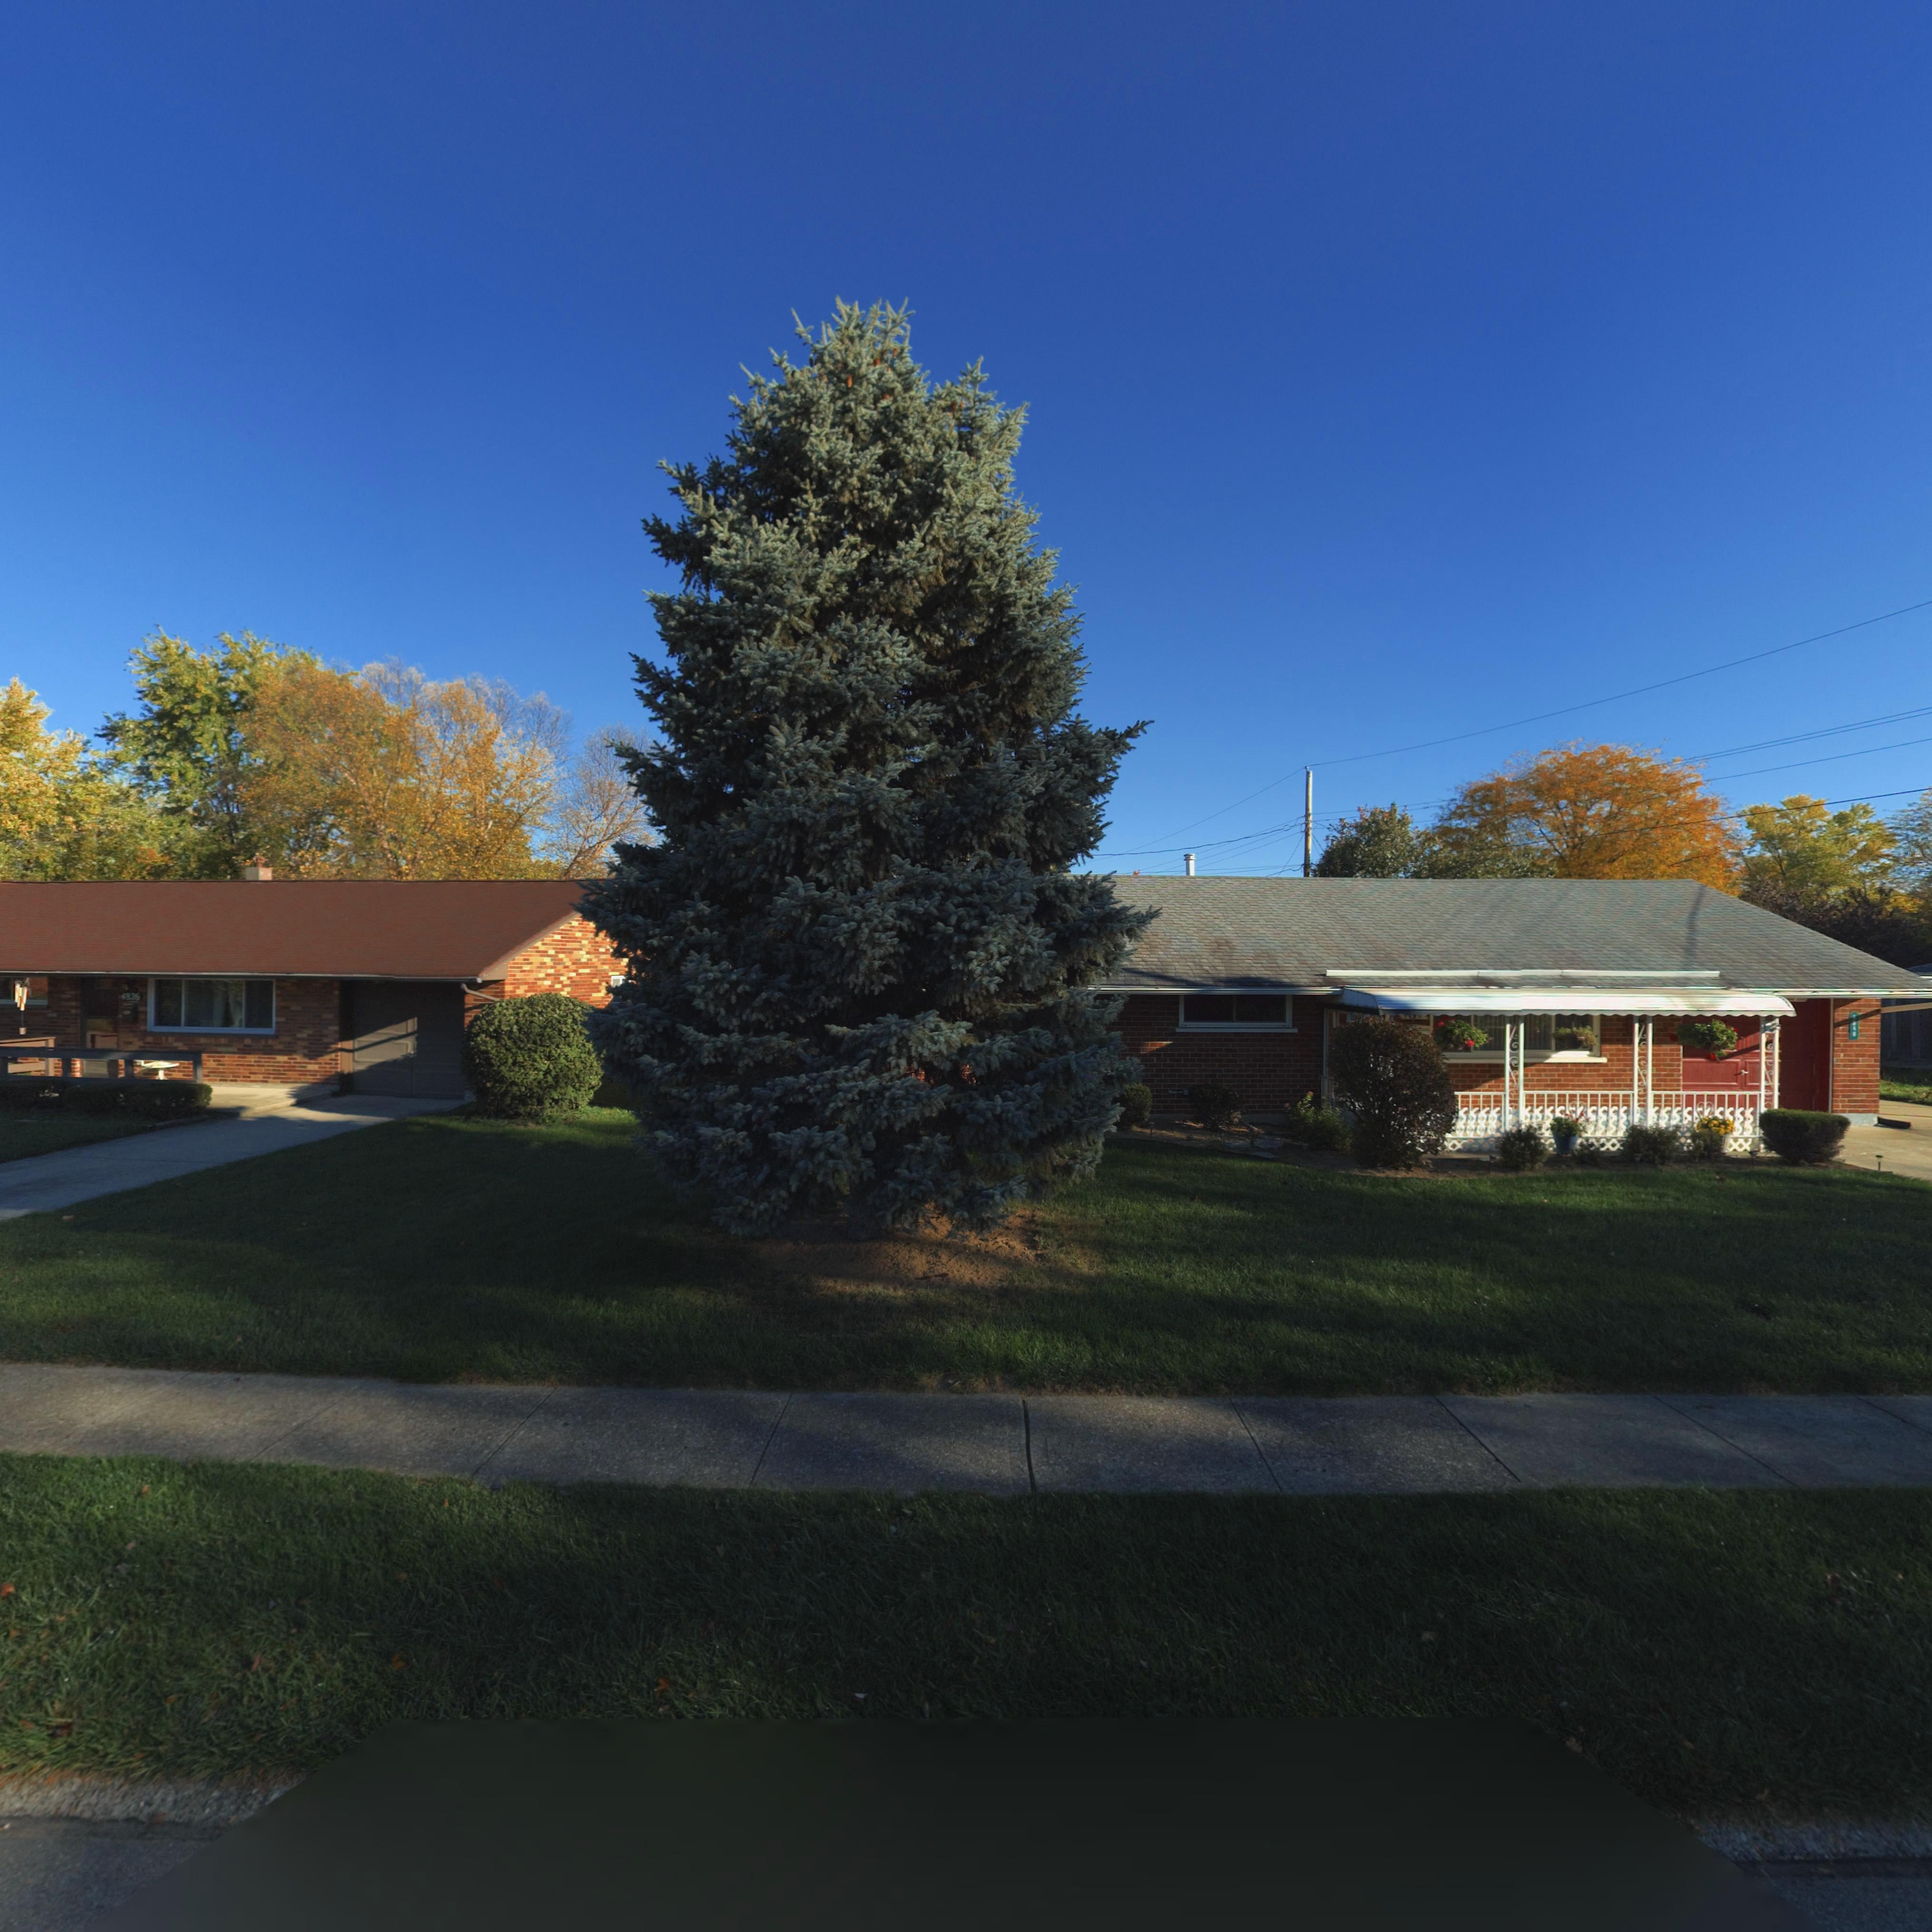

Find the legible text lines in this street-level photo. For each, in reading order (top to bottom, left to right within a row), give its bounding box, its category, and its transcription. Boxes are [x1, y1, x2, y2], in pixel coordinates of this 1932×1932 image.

[120, 992, 141, 1001] StreetNumber: 4746
[1851, 1013, 1856, 1036] StreetNumber: 4846